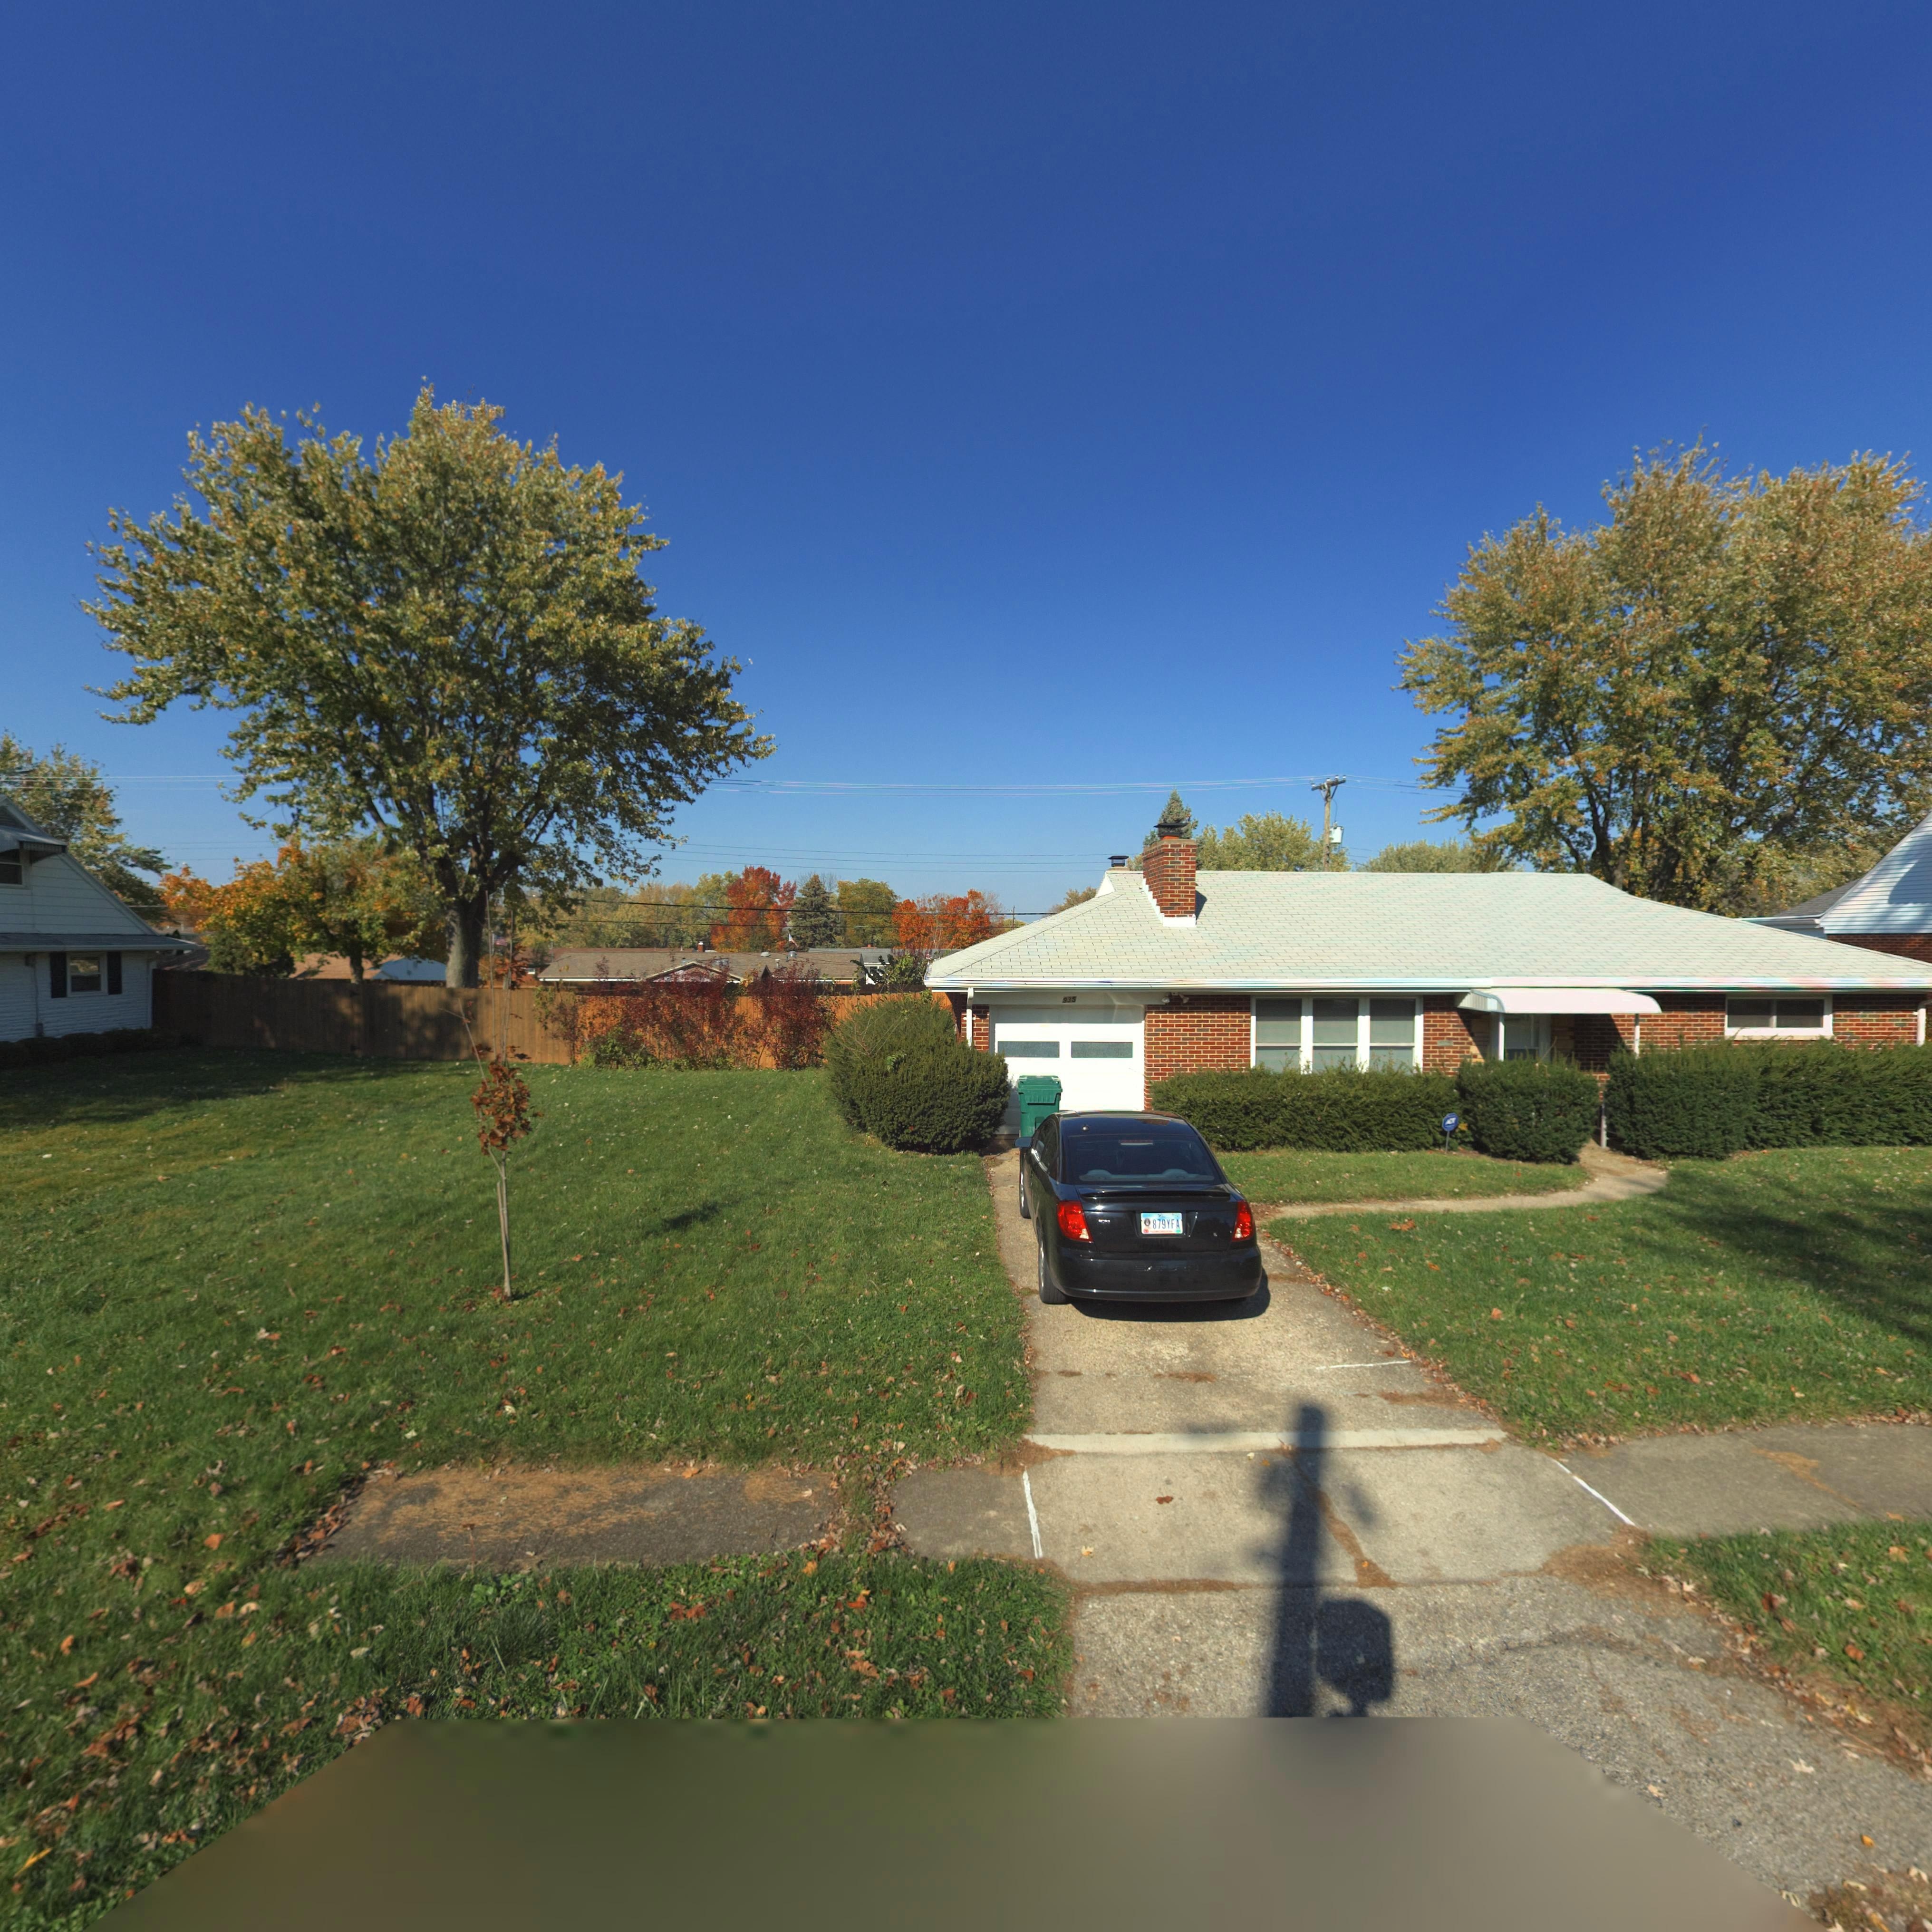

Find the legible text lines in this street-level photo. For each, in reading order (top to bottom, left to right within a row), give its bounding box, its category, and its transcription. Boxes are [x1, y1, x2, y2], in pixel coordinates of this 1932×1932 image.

[1062, 996, 1077, 1003] StreetNumber: 935
[1444, 1117, 1457, 1125] None: ADT
[1152, 1219, 1181, 1230] None: 879YFA